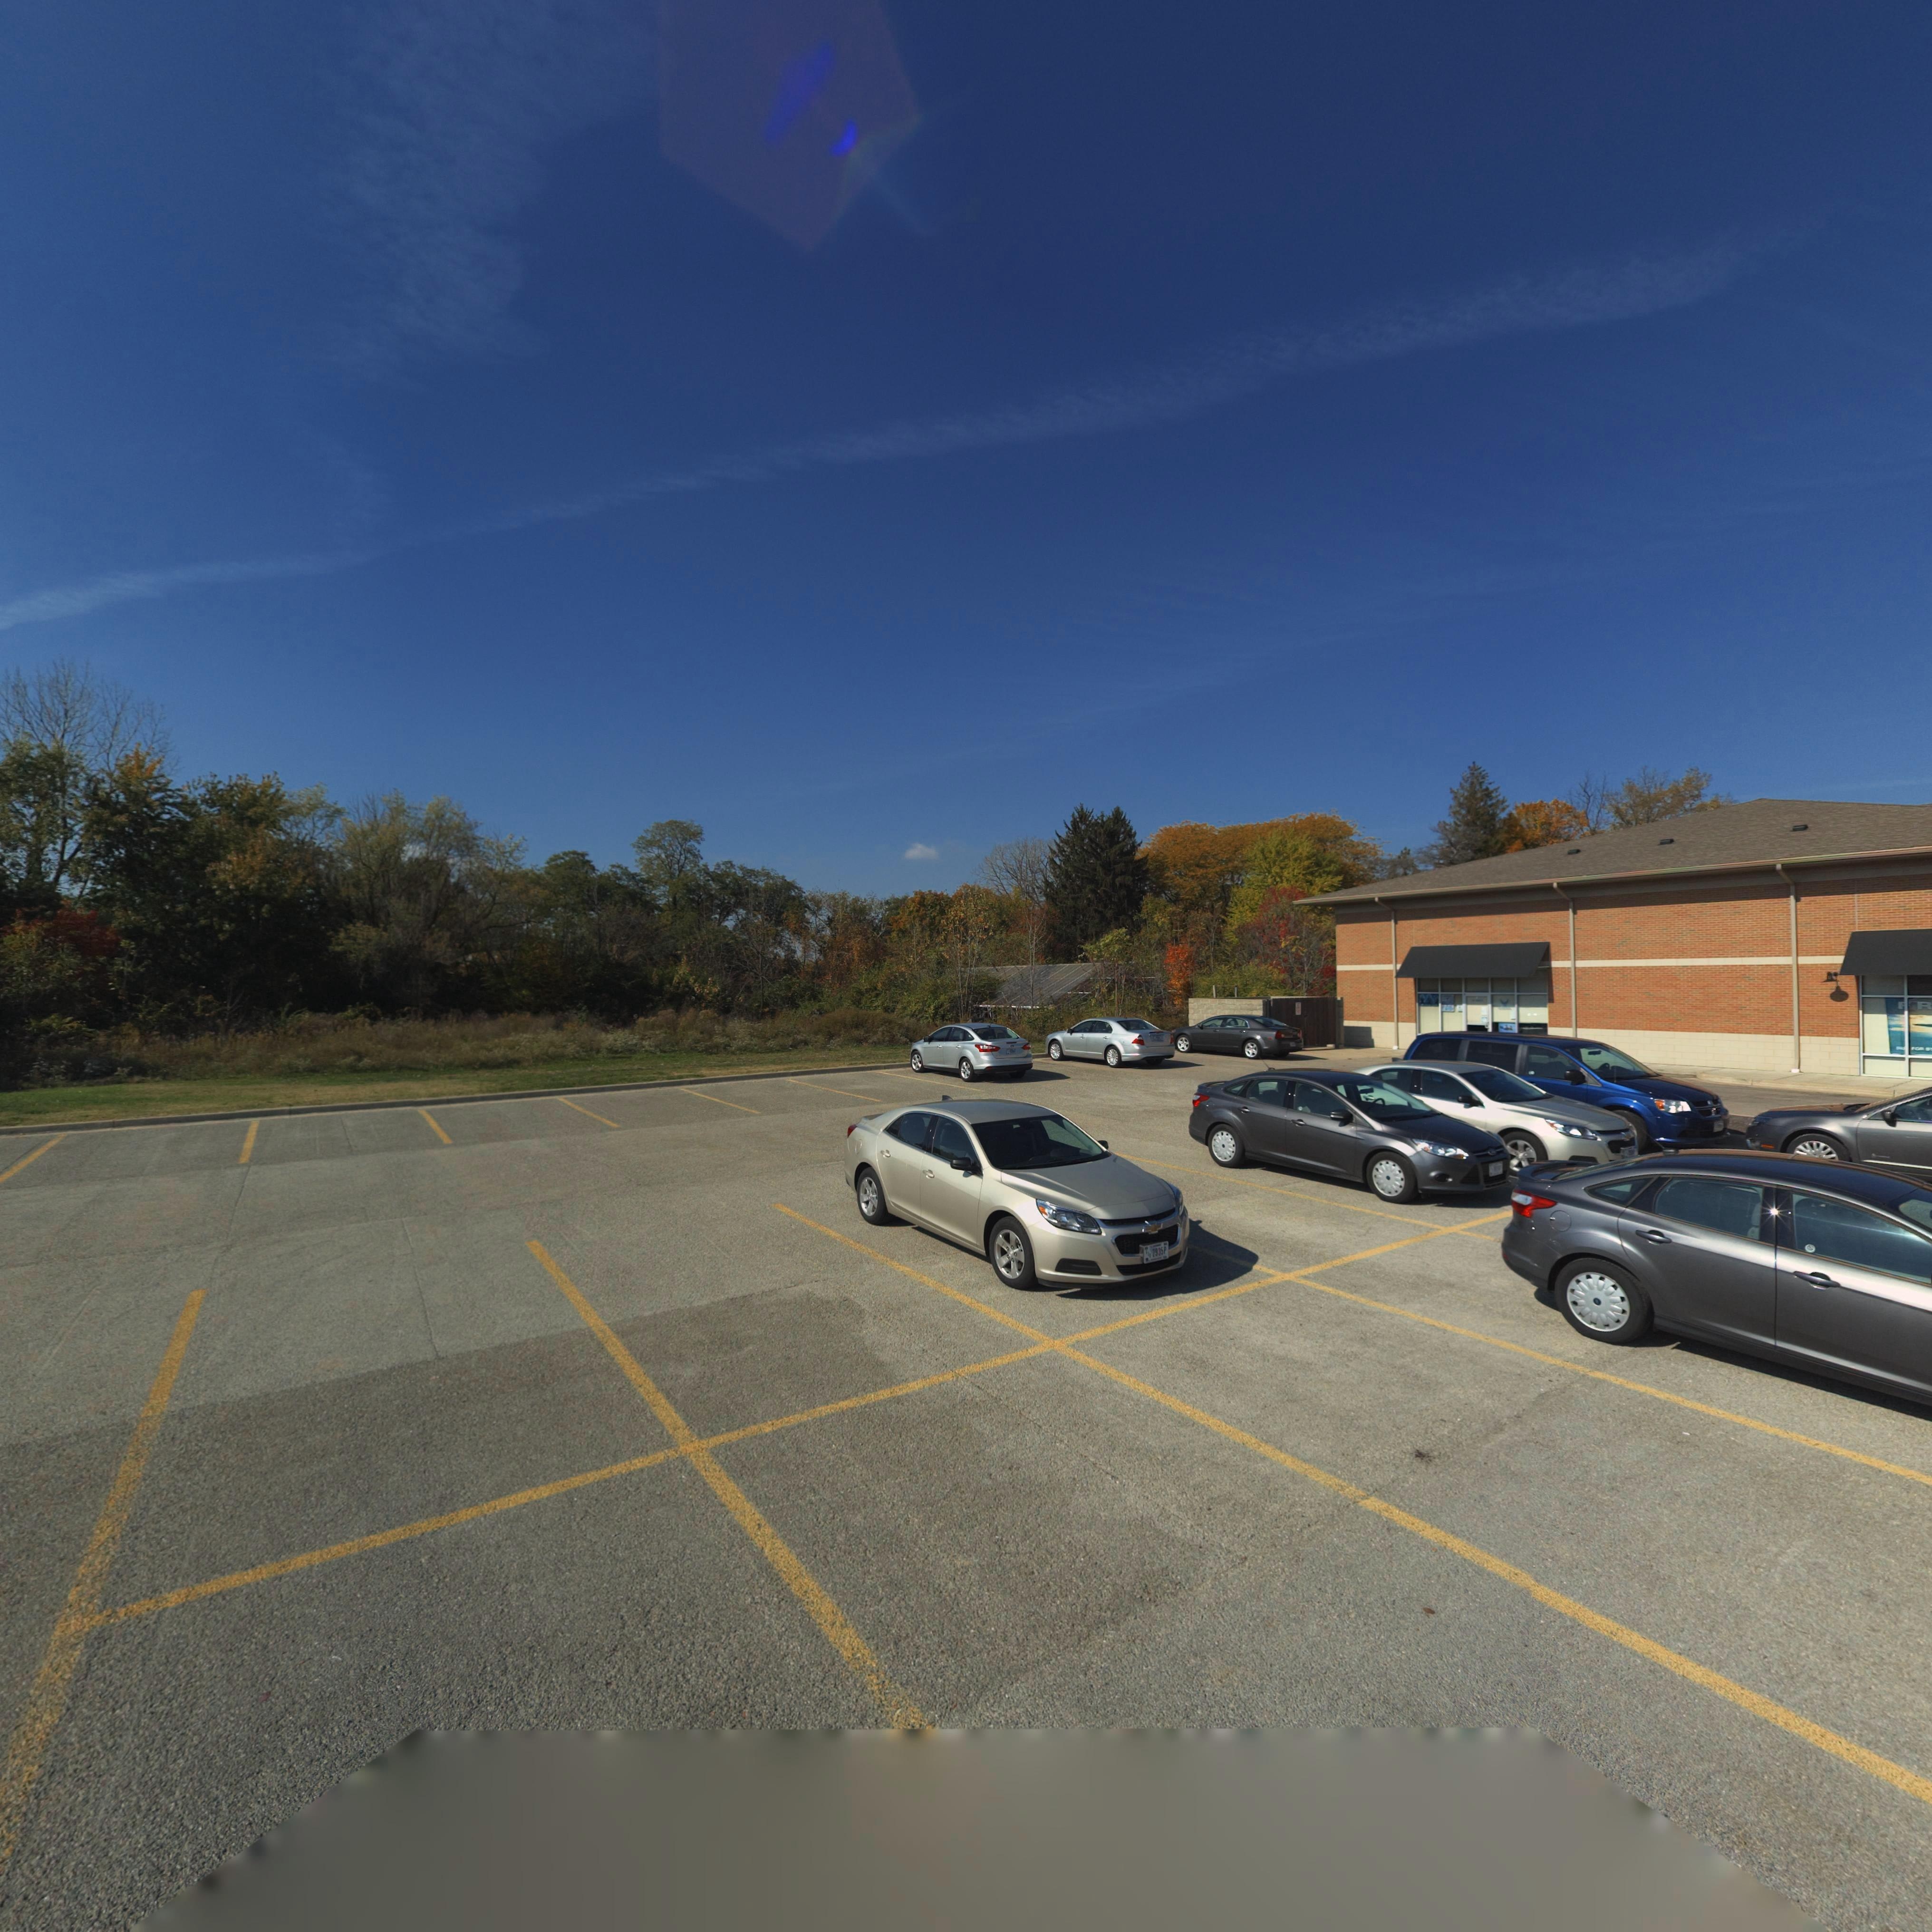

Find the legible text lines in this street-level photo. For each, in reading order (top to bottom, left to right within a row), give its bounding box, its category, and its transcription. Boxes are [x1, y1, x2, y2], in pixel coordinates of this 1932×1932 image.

[1917, 1000, 1932, 1011] None: R